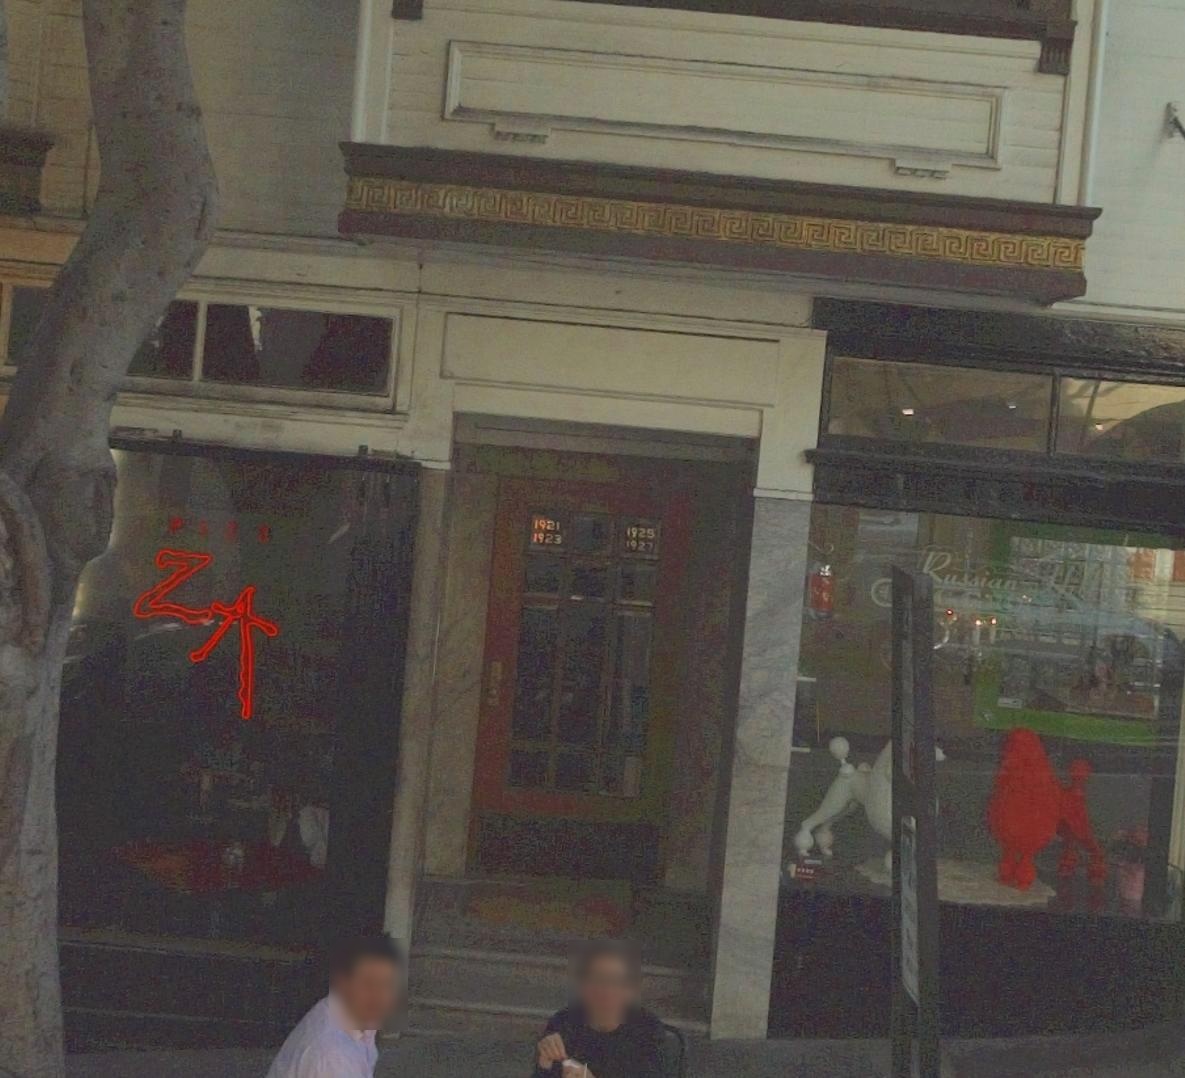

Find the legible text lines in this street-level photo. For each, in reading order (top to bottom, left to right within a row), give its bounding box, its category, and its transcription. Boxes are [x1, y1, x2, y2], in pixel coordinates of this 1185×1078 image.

[161, 513, 276, 548] BusinessName: PIZZ
[531, 531, 562, 546] StreetNumber: 1923
[533, 518, 561, 533] StreetNumber: 1921
[624, 538, 655, 553] StreetNumber: 1927
[626, 524, 655, 540] StreetNumber: 1929
[125, 546, 216, 626] BusinessName: Z
[939, 569, 1020, 594] None: ussian